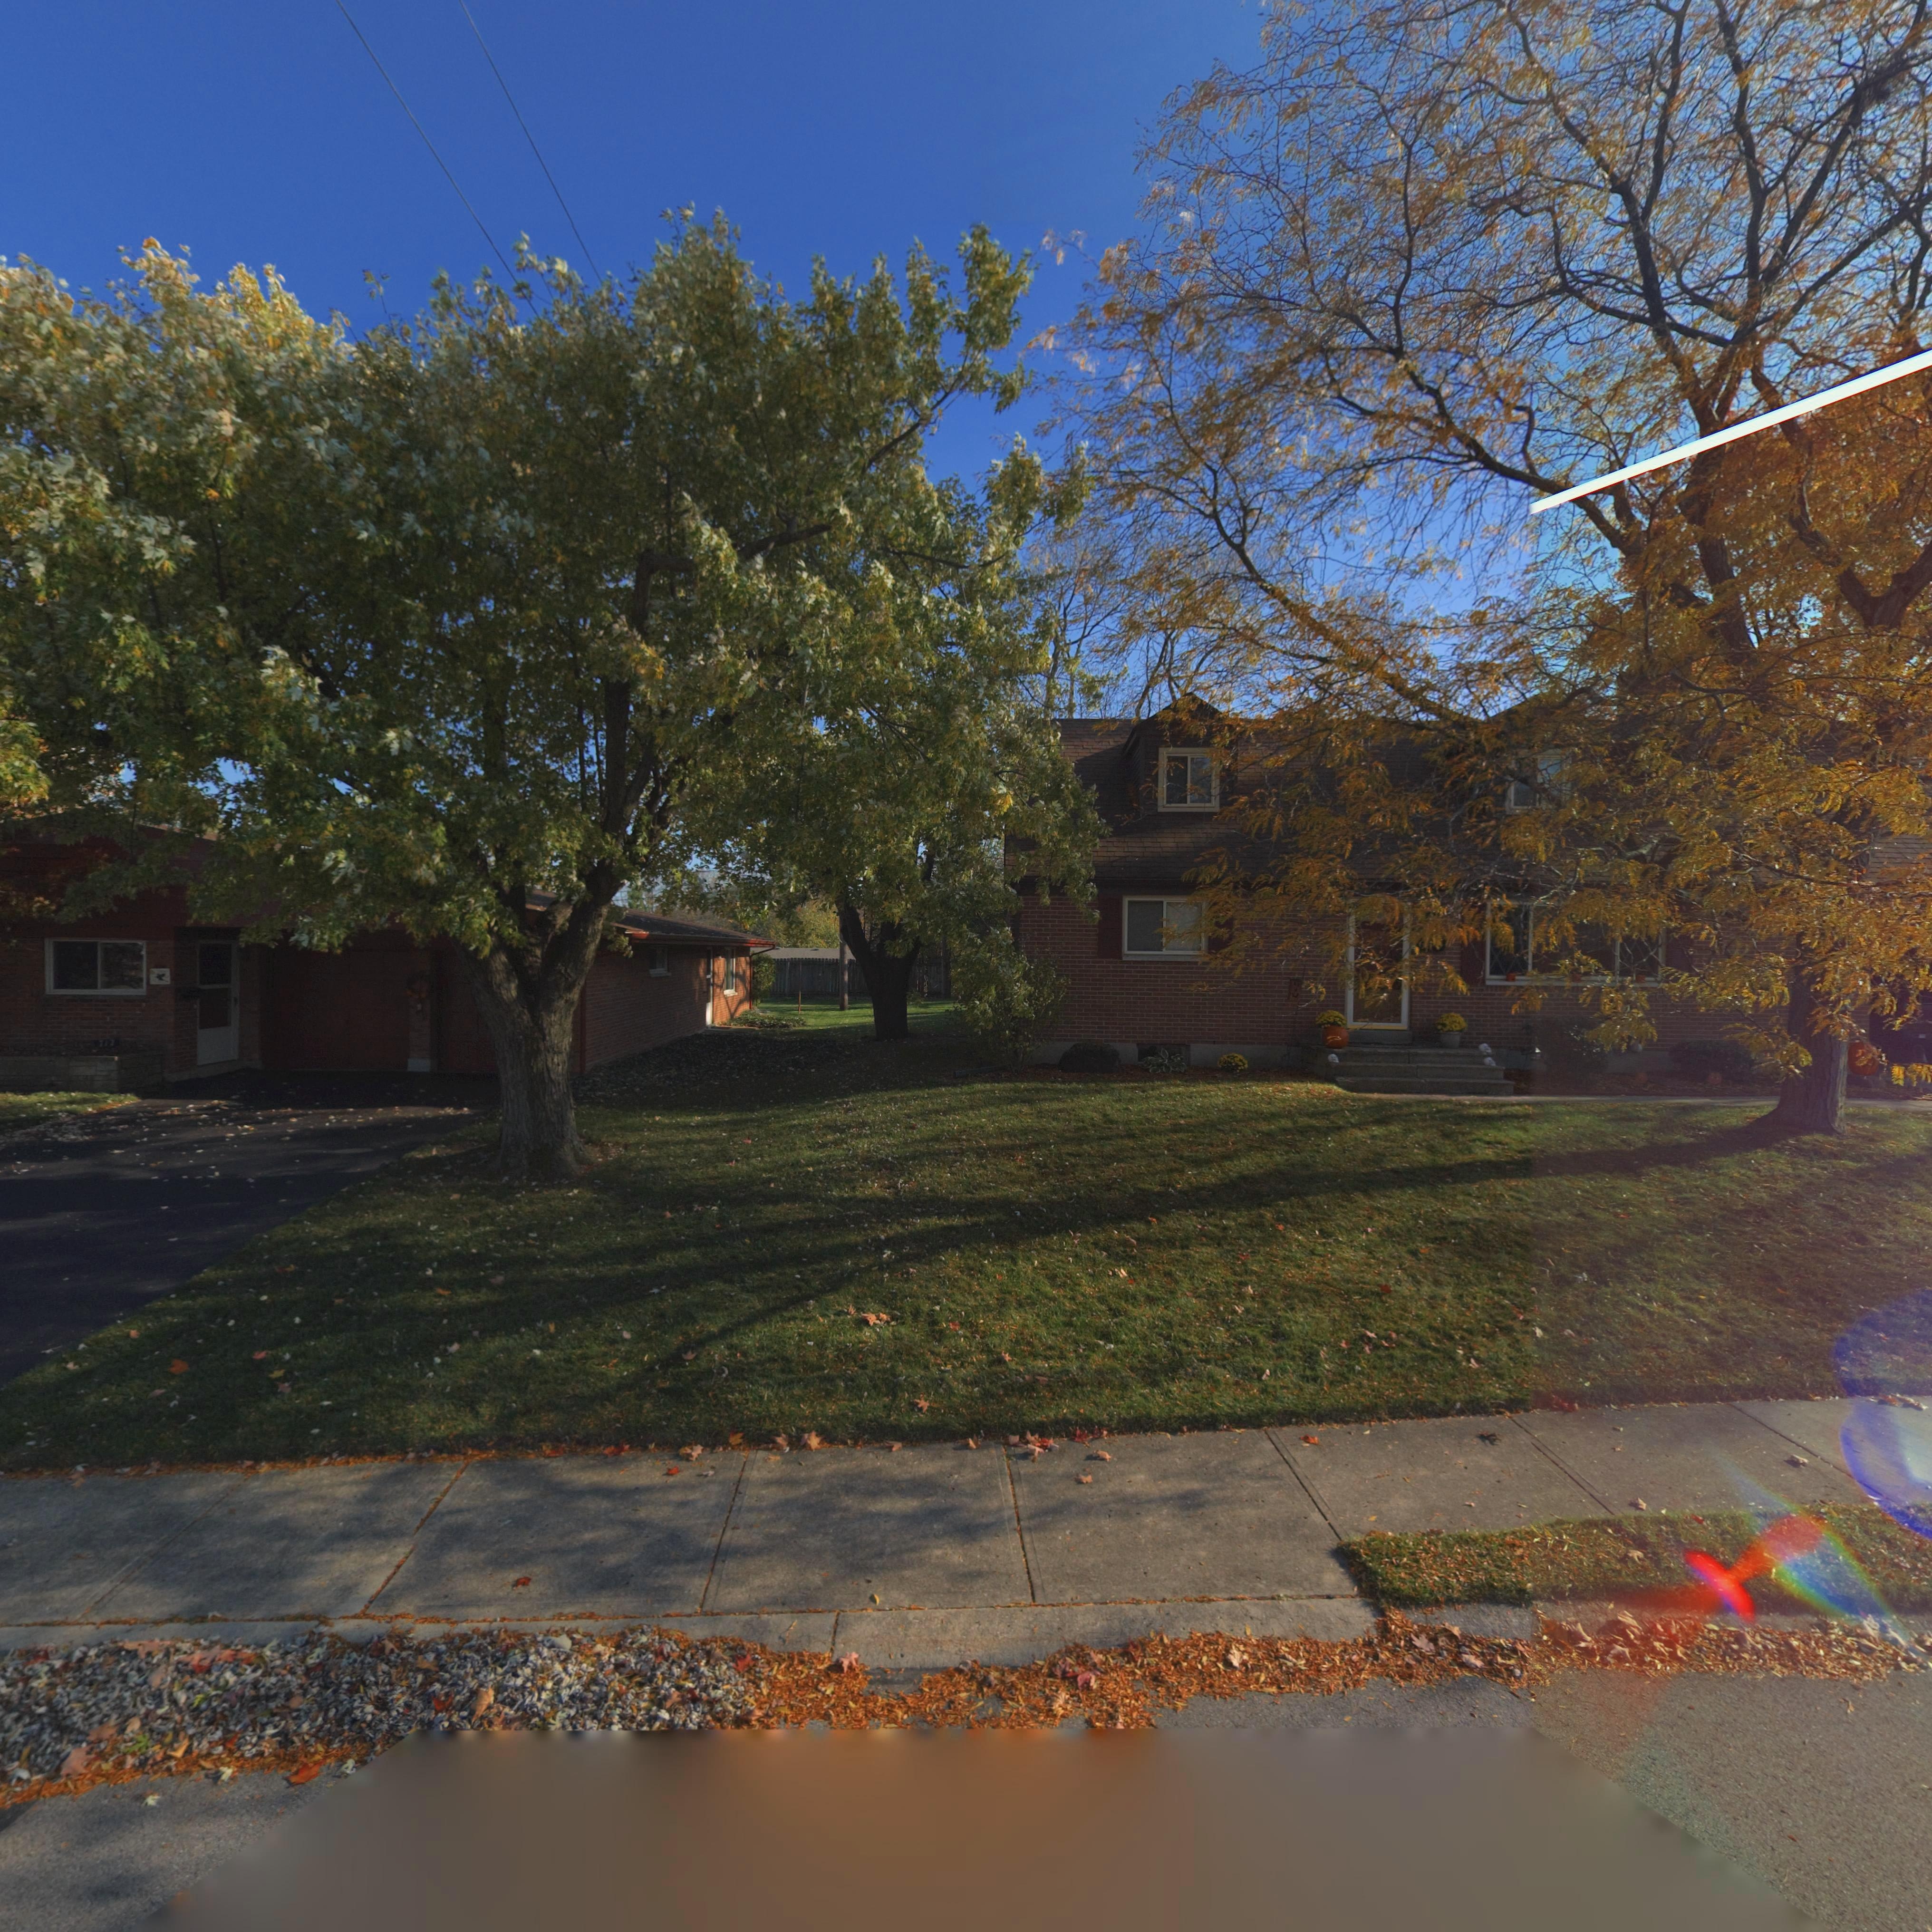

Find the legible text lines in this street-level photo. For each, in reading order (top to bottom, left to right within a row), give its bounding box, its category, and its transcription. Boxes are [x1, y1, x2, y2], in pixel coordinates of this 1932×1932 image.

[98, 1038, 115, 1047] StreetNumber: 712